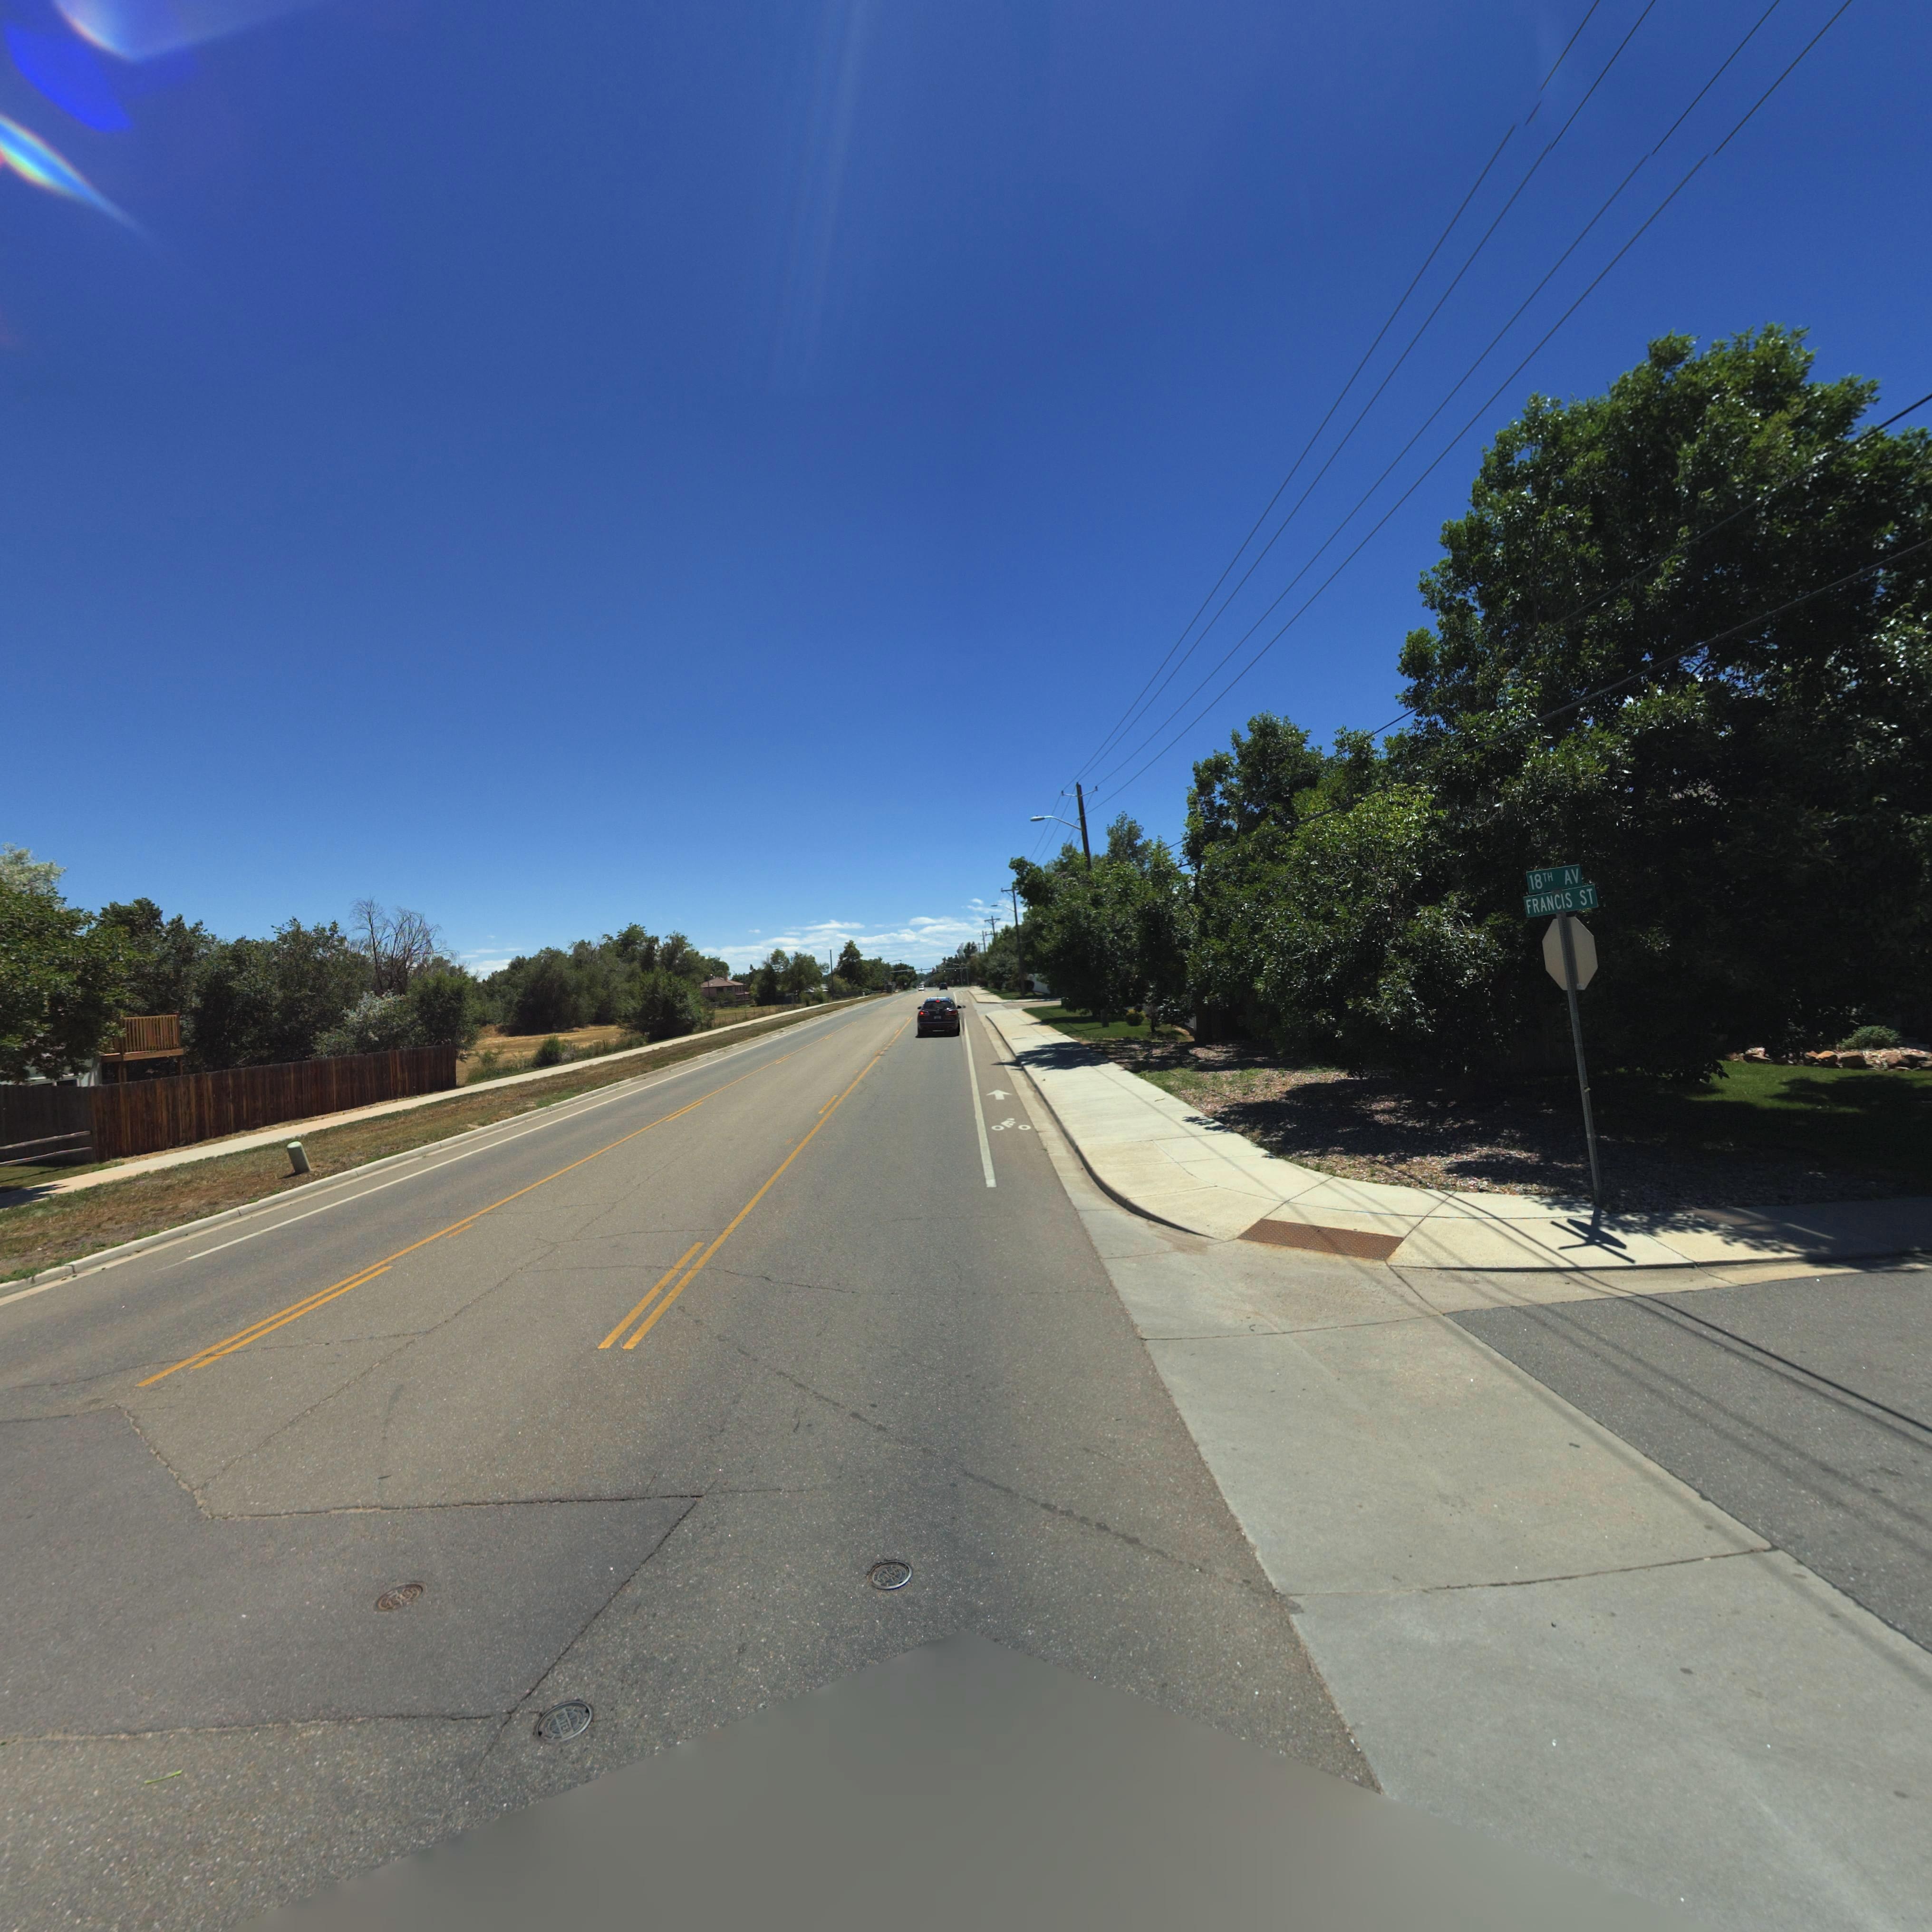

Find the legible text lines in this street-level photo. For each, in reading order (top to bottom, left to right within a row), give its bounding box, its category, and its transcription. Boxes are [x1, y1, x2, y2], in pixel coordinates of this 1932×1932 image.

[1528, 867, 1579, 890] StreetName: 18TH AV
[1525, 887, 1594, 914] StreetName: FRANCIS ST